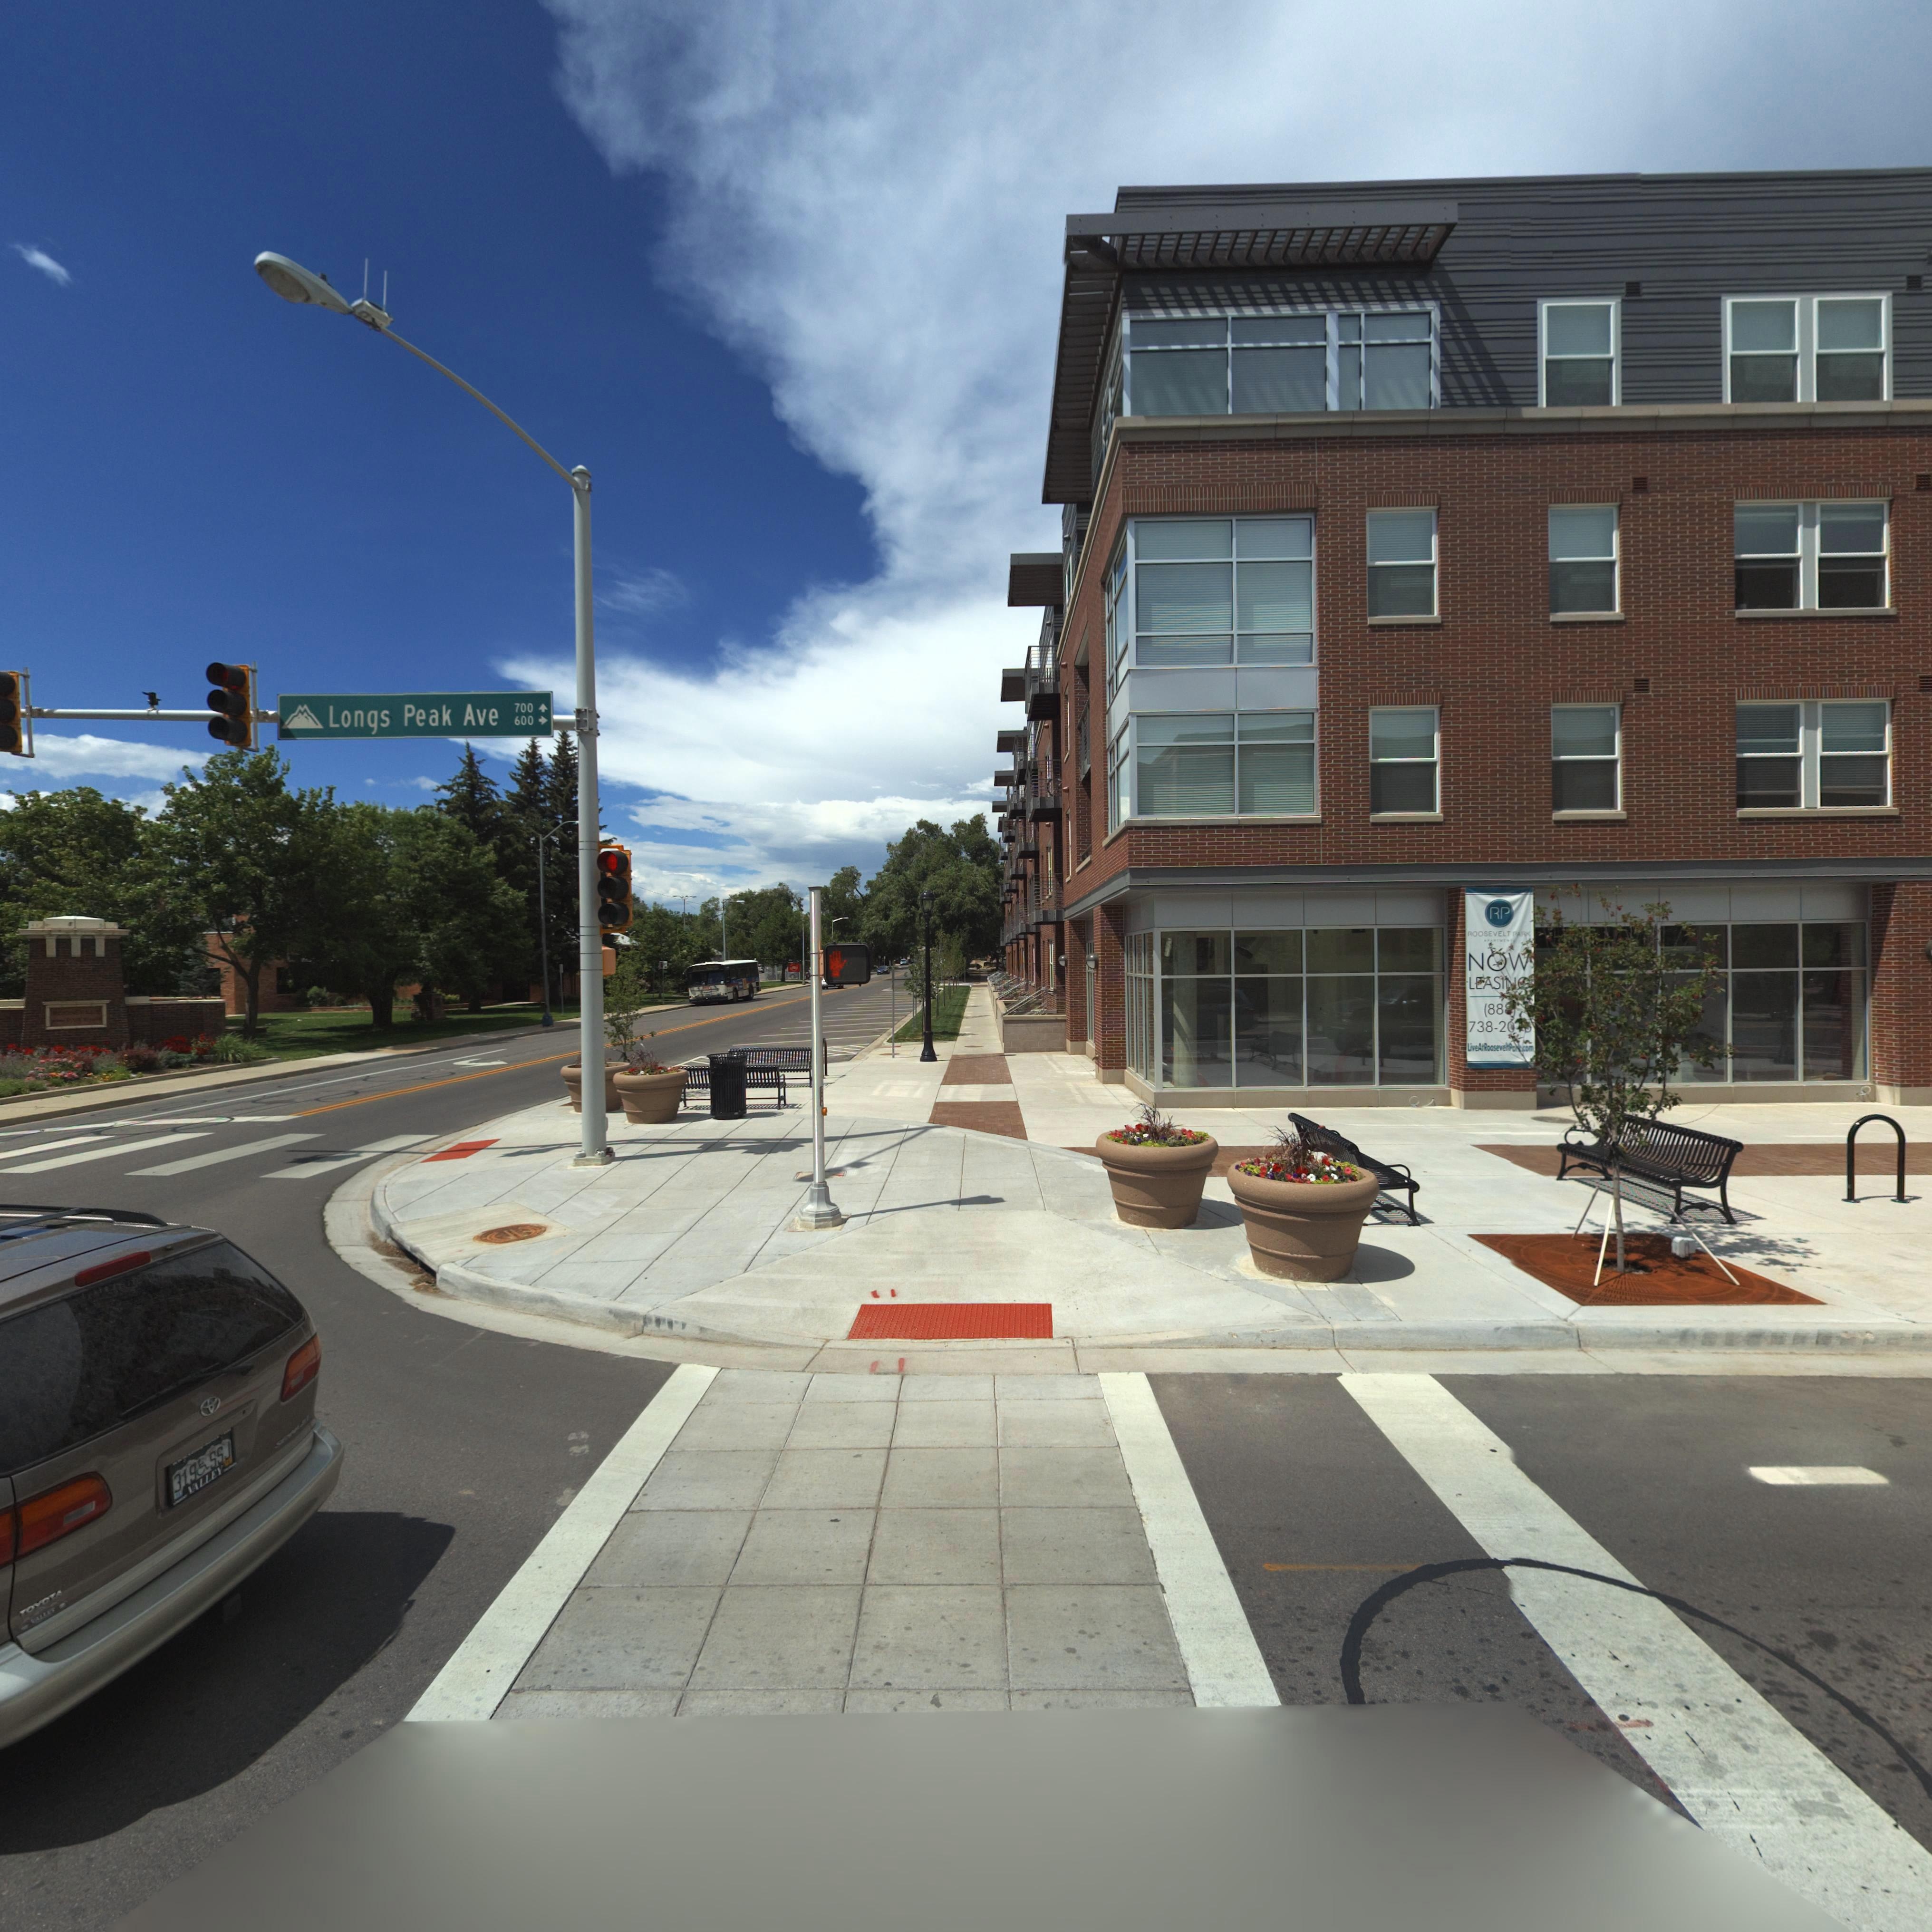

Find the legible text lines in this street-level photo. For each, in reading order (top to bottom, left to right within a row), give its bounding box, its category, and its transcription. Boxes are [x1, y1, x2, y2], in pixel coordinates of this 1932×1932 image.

[514, 702, 533, 713] StreetNumberRange: 700
[329, 703, 499, 735] StreetName: Longs Peak Ave
[514, 715, 548, 725] StreetNumber: 600 ->
[1468, 930, 1531, 937] BusinessName: ROOSEVELT PARK